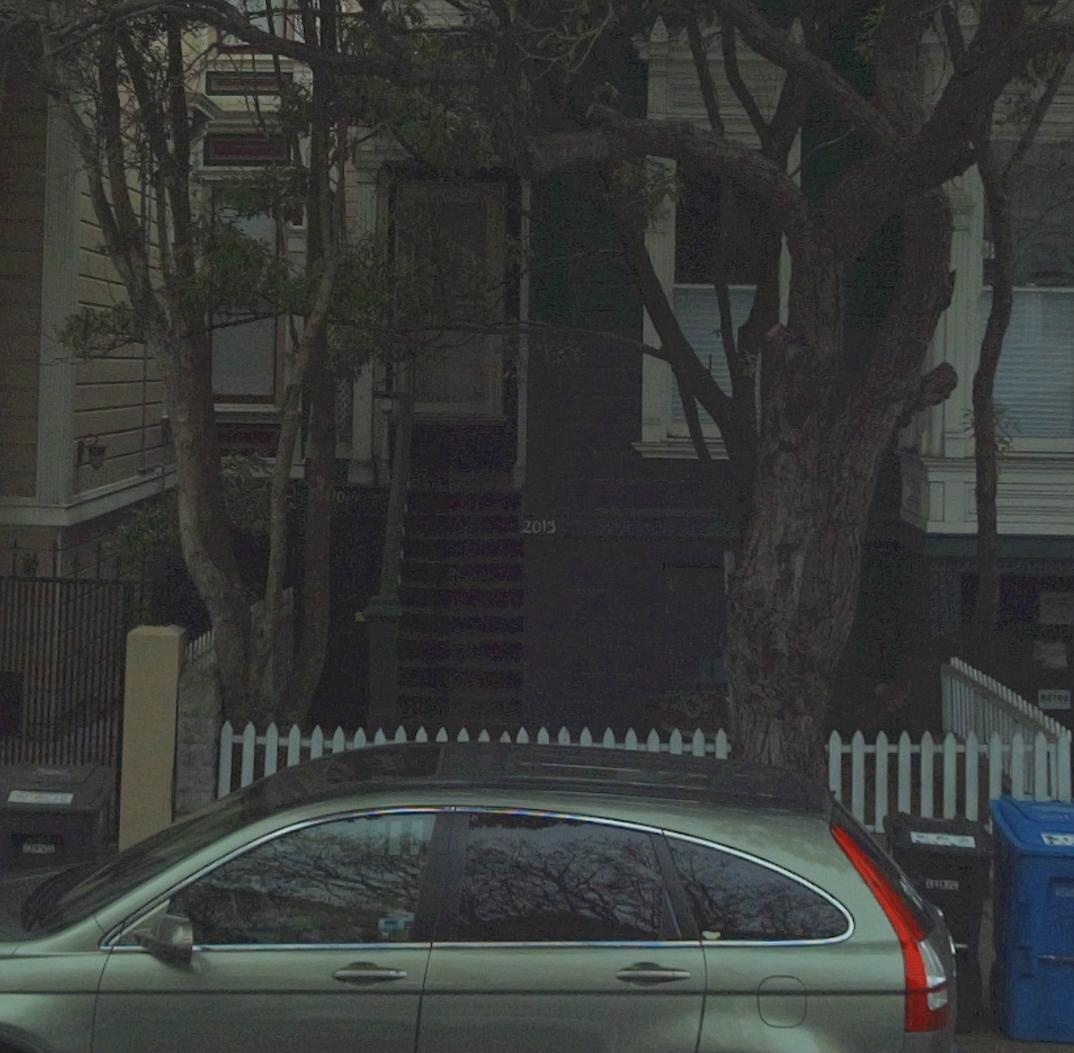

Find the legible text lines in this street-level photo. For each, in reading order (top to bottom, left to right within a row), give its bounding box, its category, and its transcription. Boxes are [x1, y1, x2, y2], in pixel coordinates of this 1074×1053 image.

[522, 519, 557, 535] StreetNumber: 2013